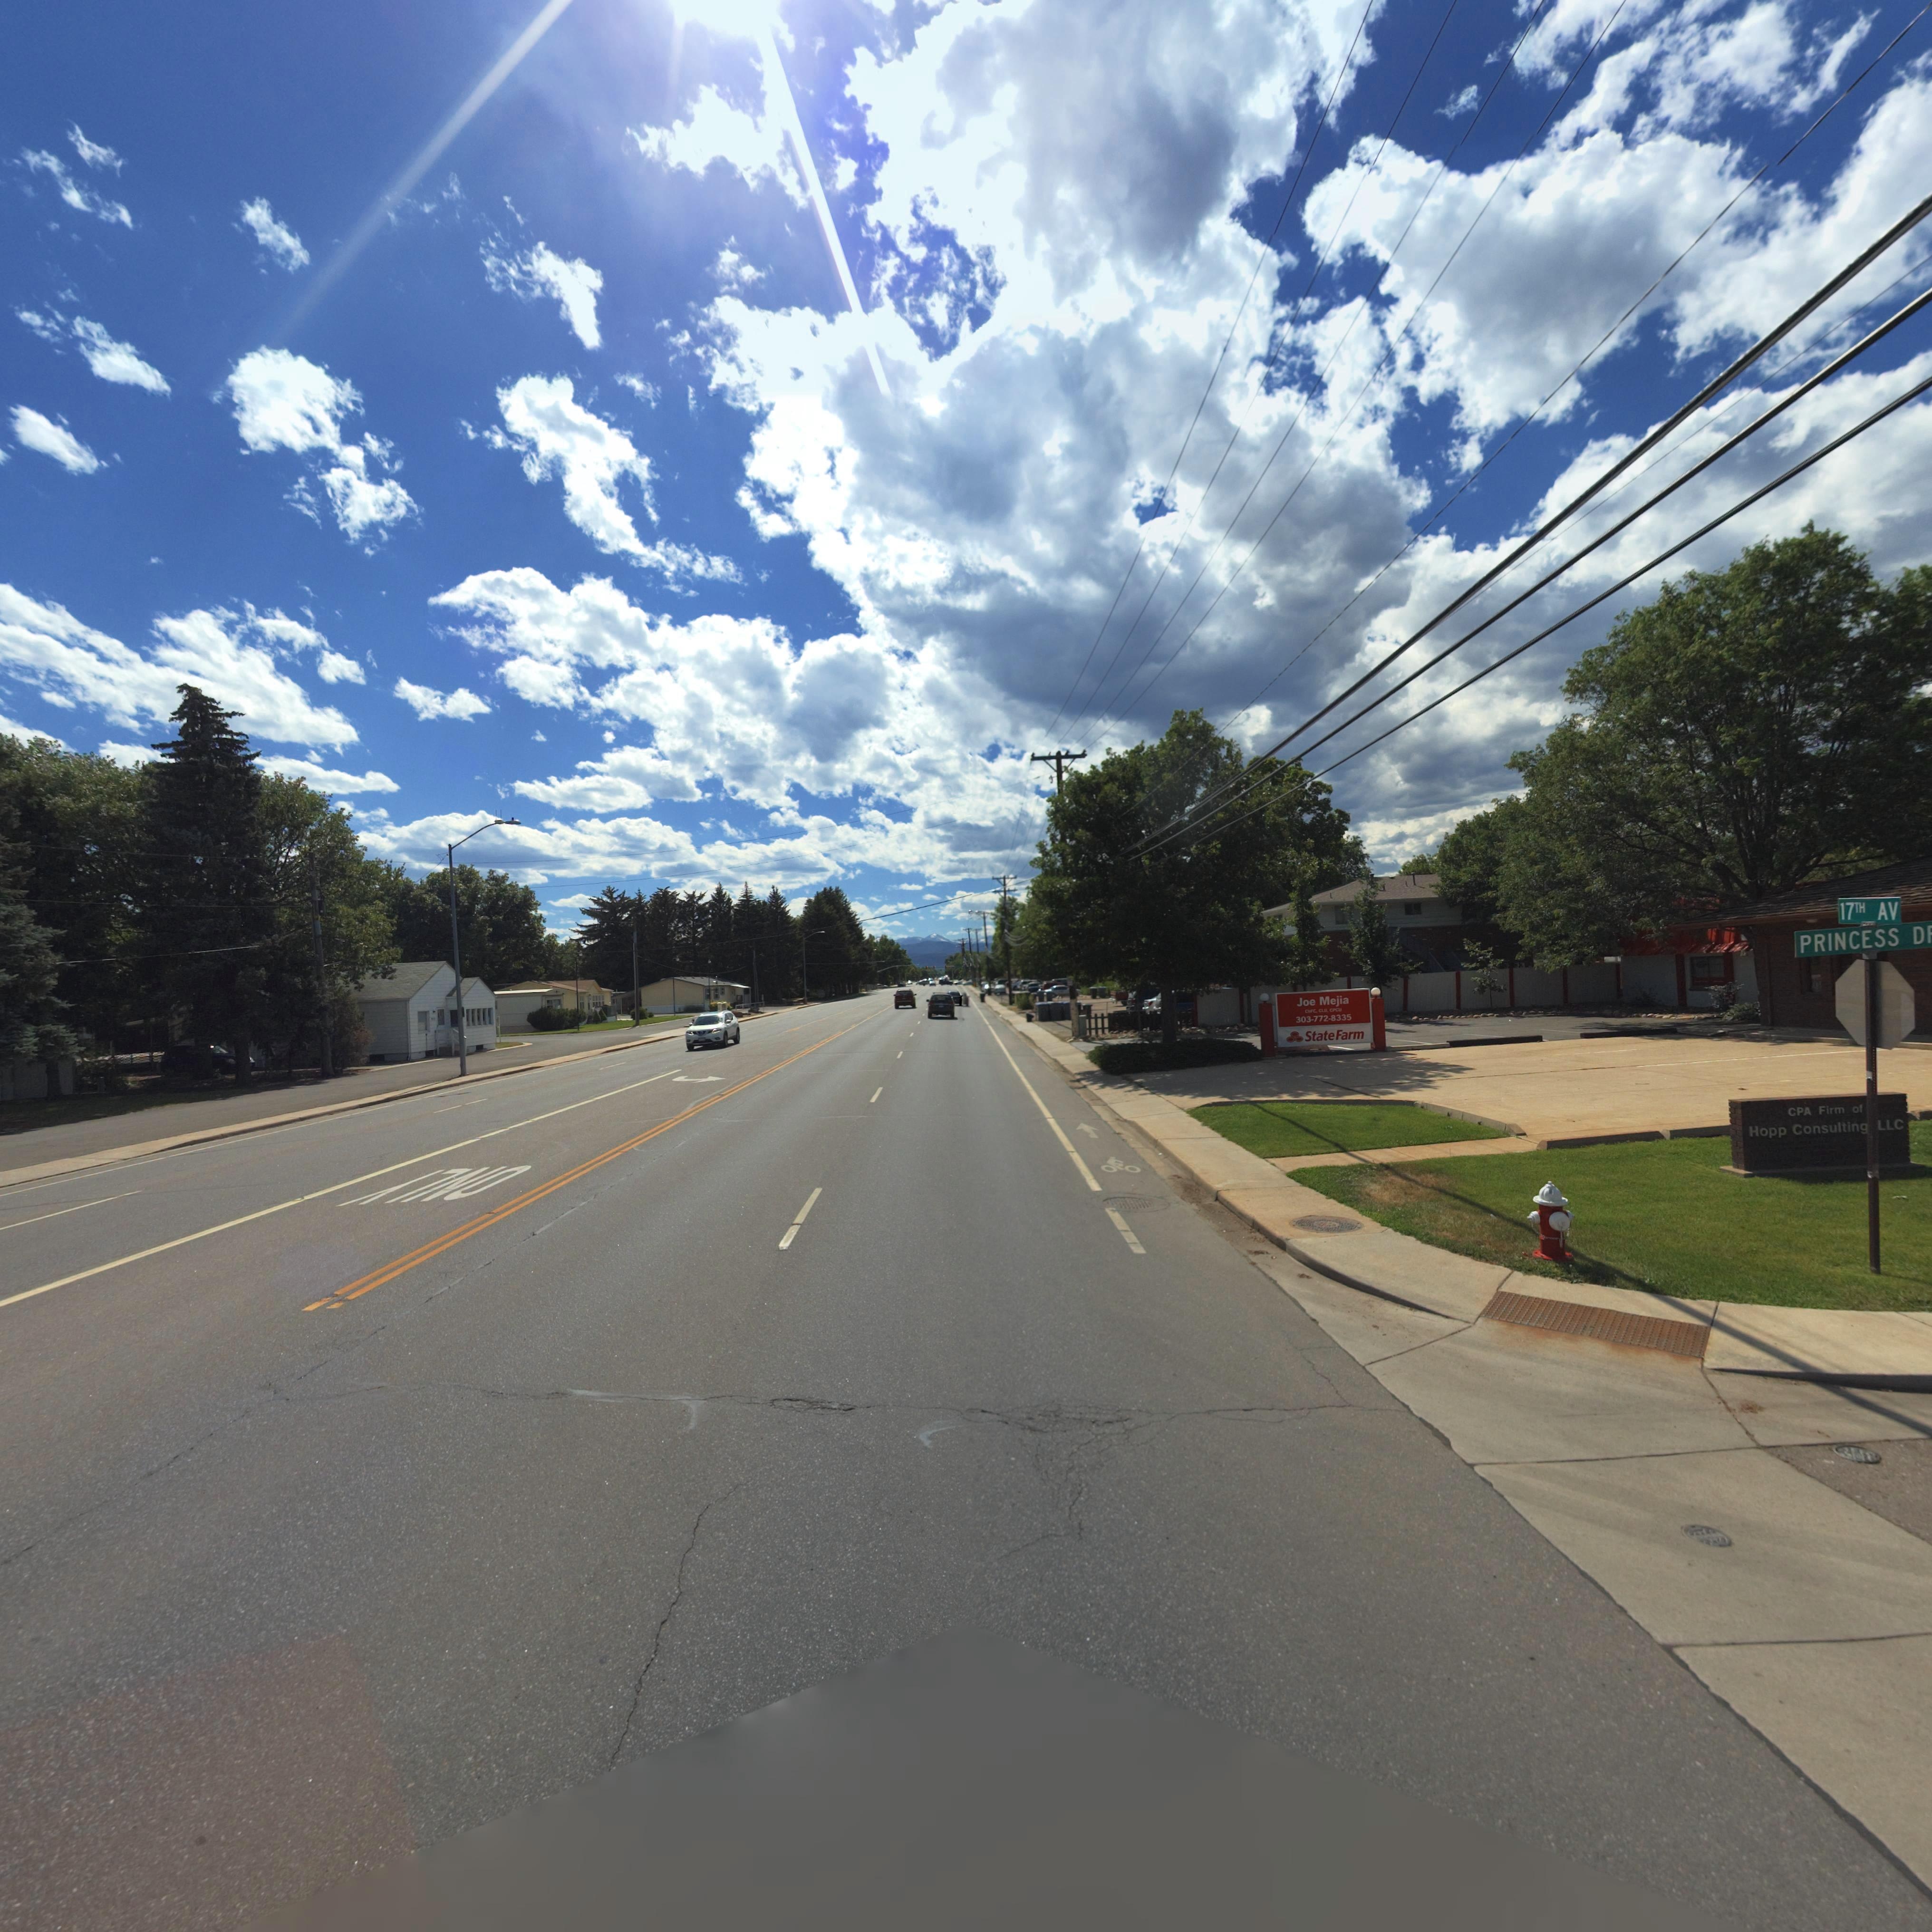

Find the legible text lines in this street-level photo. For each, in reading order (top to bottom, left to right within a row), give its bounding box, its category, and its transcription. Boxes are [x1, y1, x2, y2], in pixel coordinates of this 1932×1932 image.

[1304, 1028, 1365, 1043] BusinessName: State Farm
[1787, 1102, 1864, 1117] BusinessName: CPA Firm of
[1748, 1117, 1904, 1140] BusinessName: Hopp Consultin** LLC